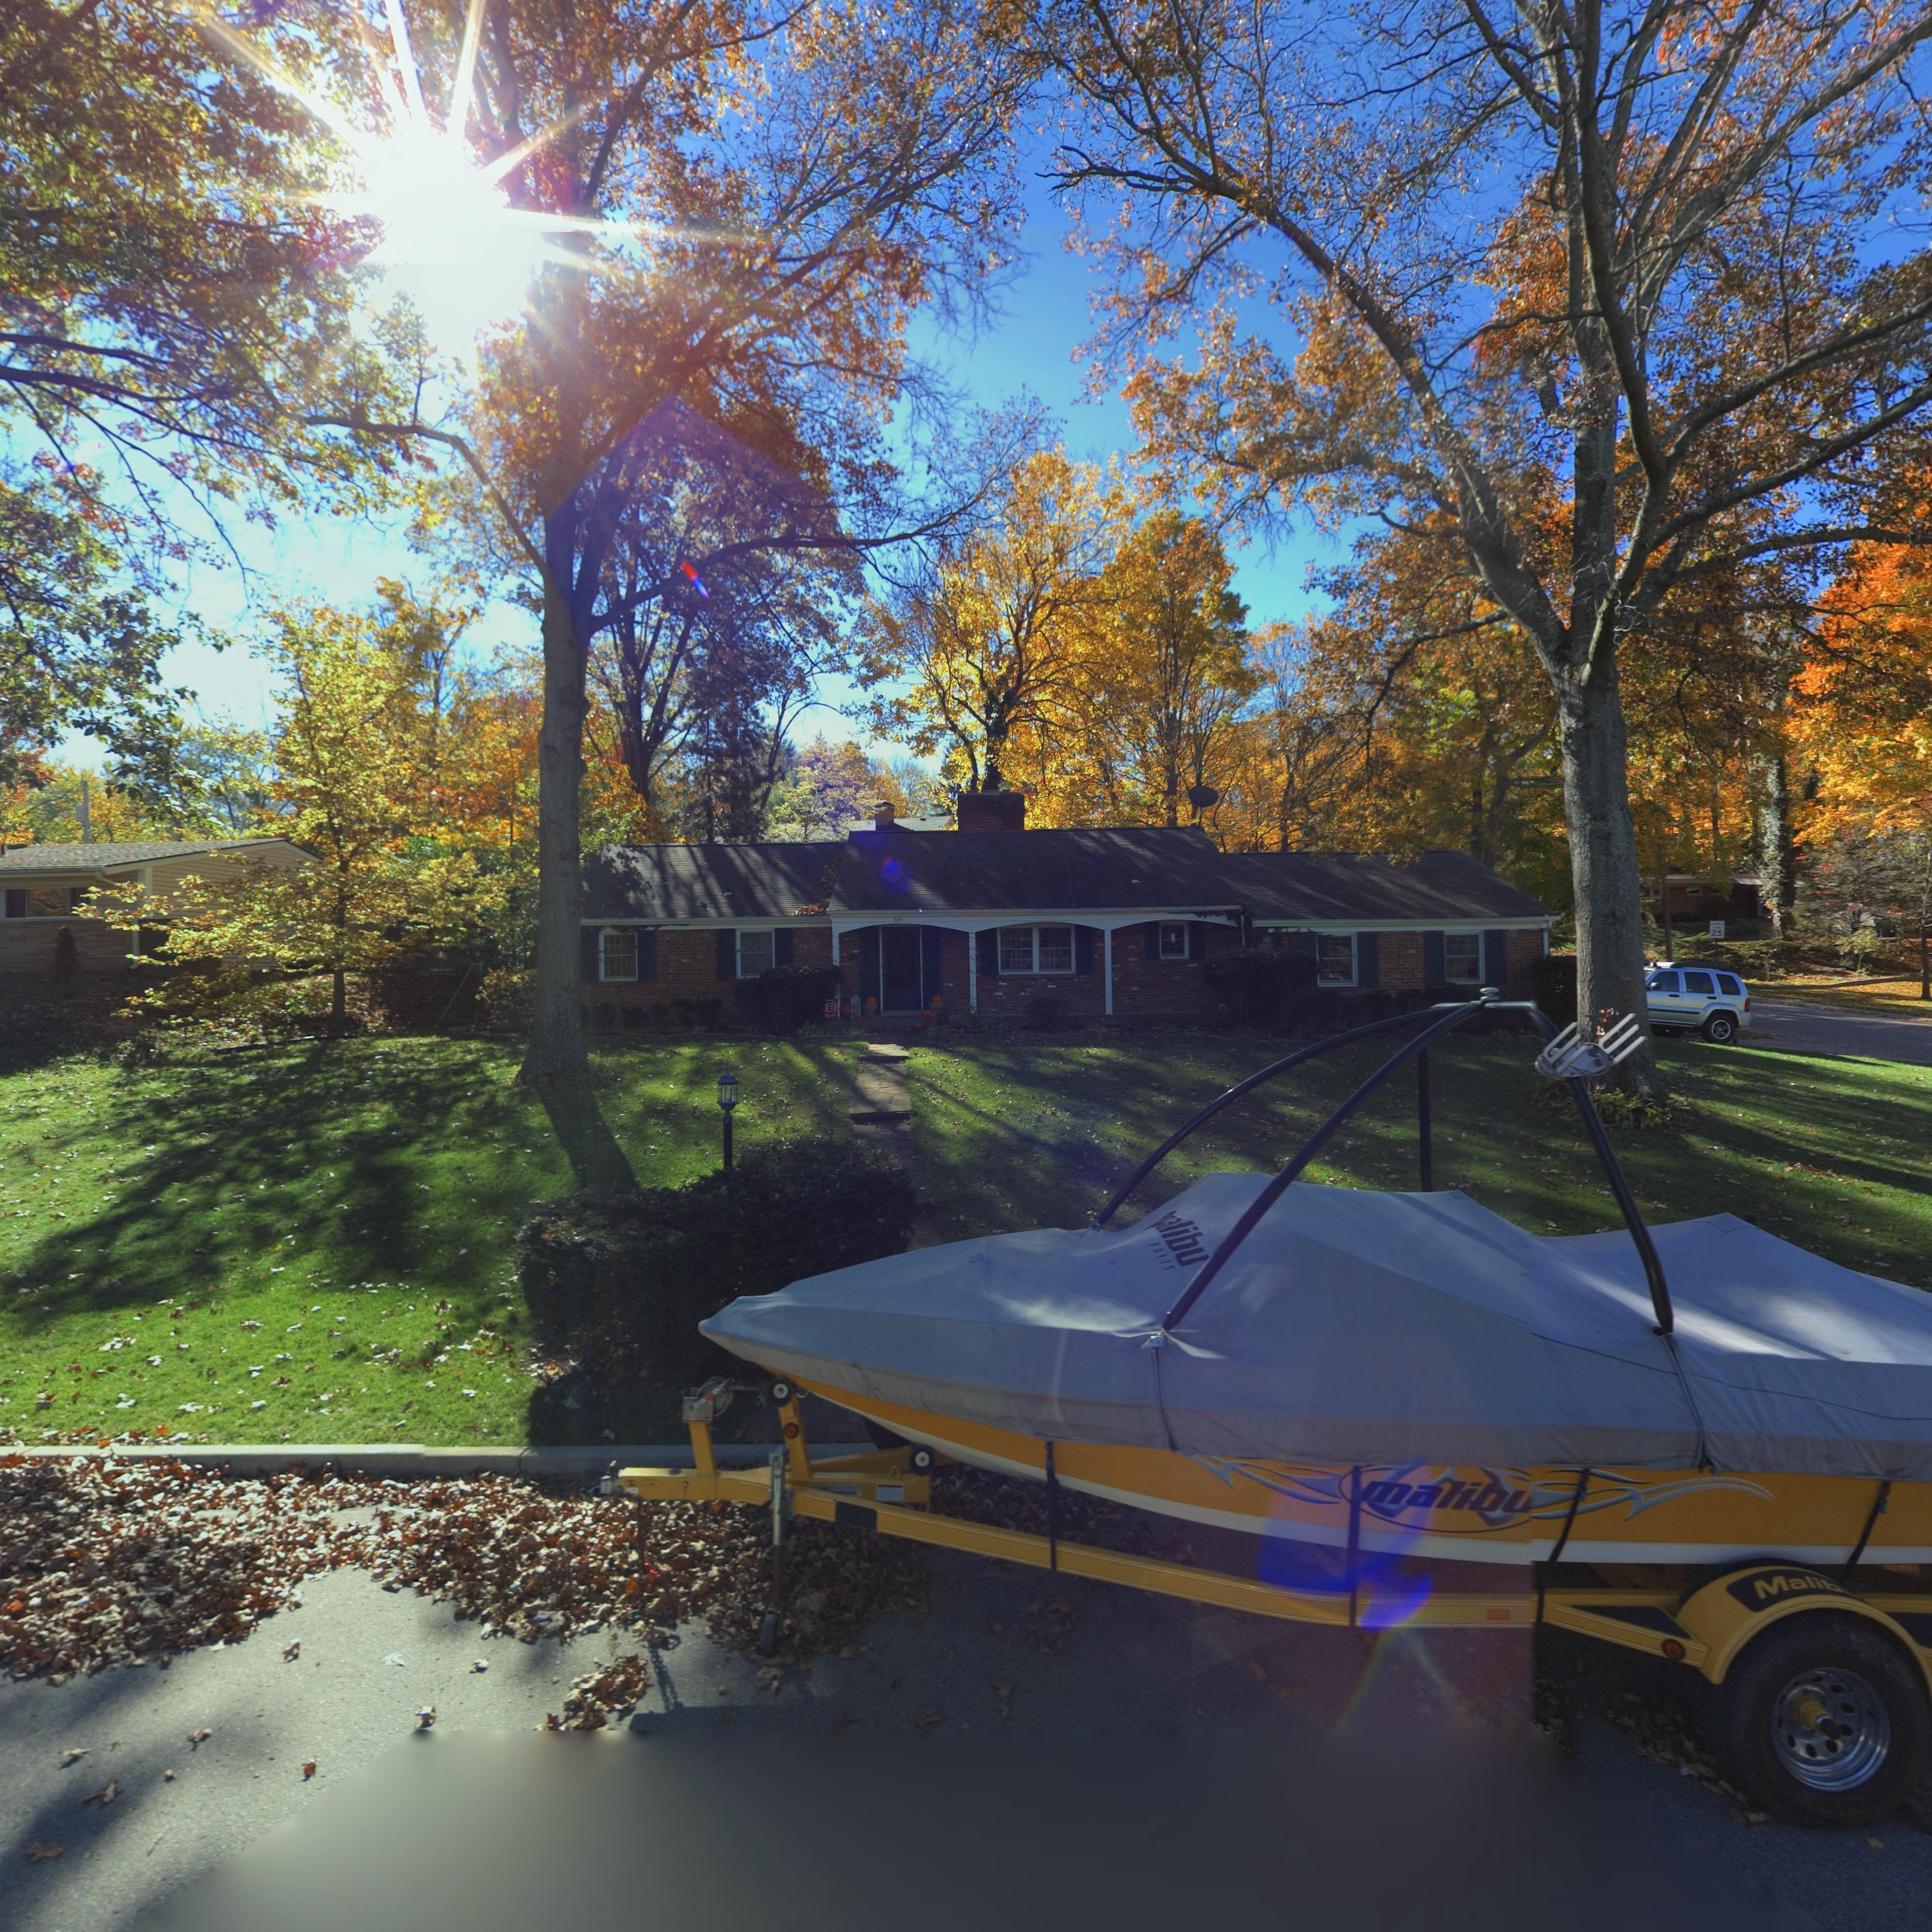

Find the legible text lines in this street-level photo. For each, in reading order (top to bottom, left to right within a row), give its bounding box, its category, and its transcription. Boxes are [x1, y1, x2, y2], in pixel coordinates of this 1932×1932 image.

[893, 917, 903, 923] StreetNumber: 384